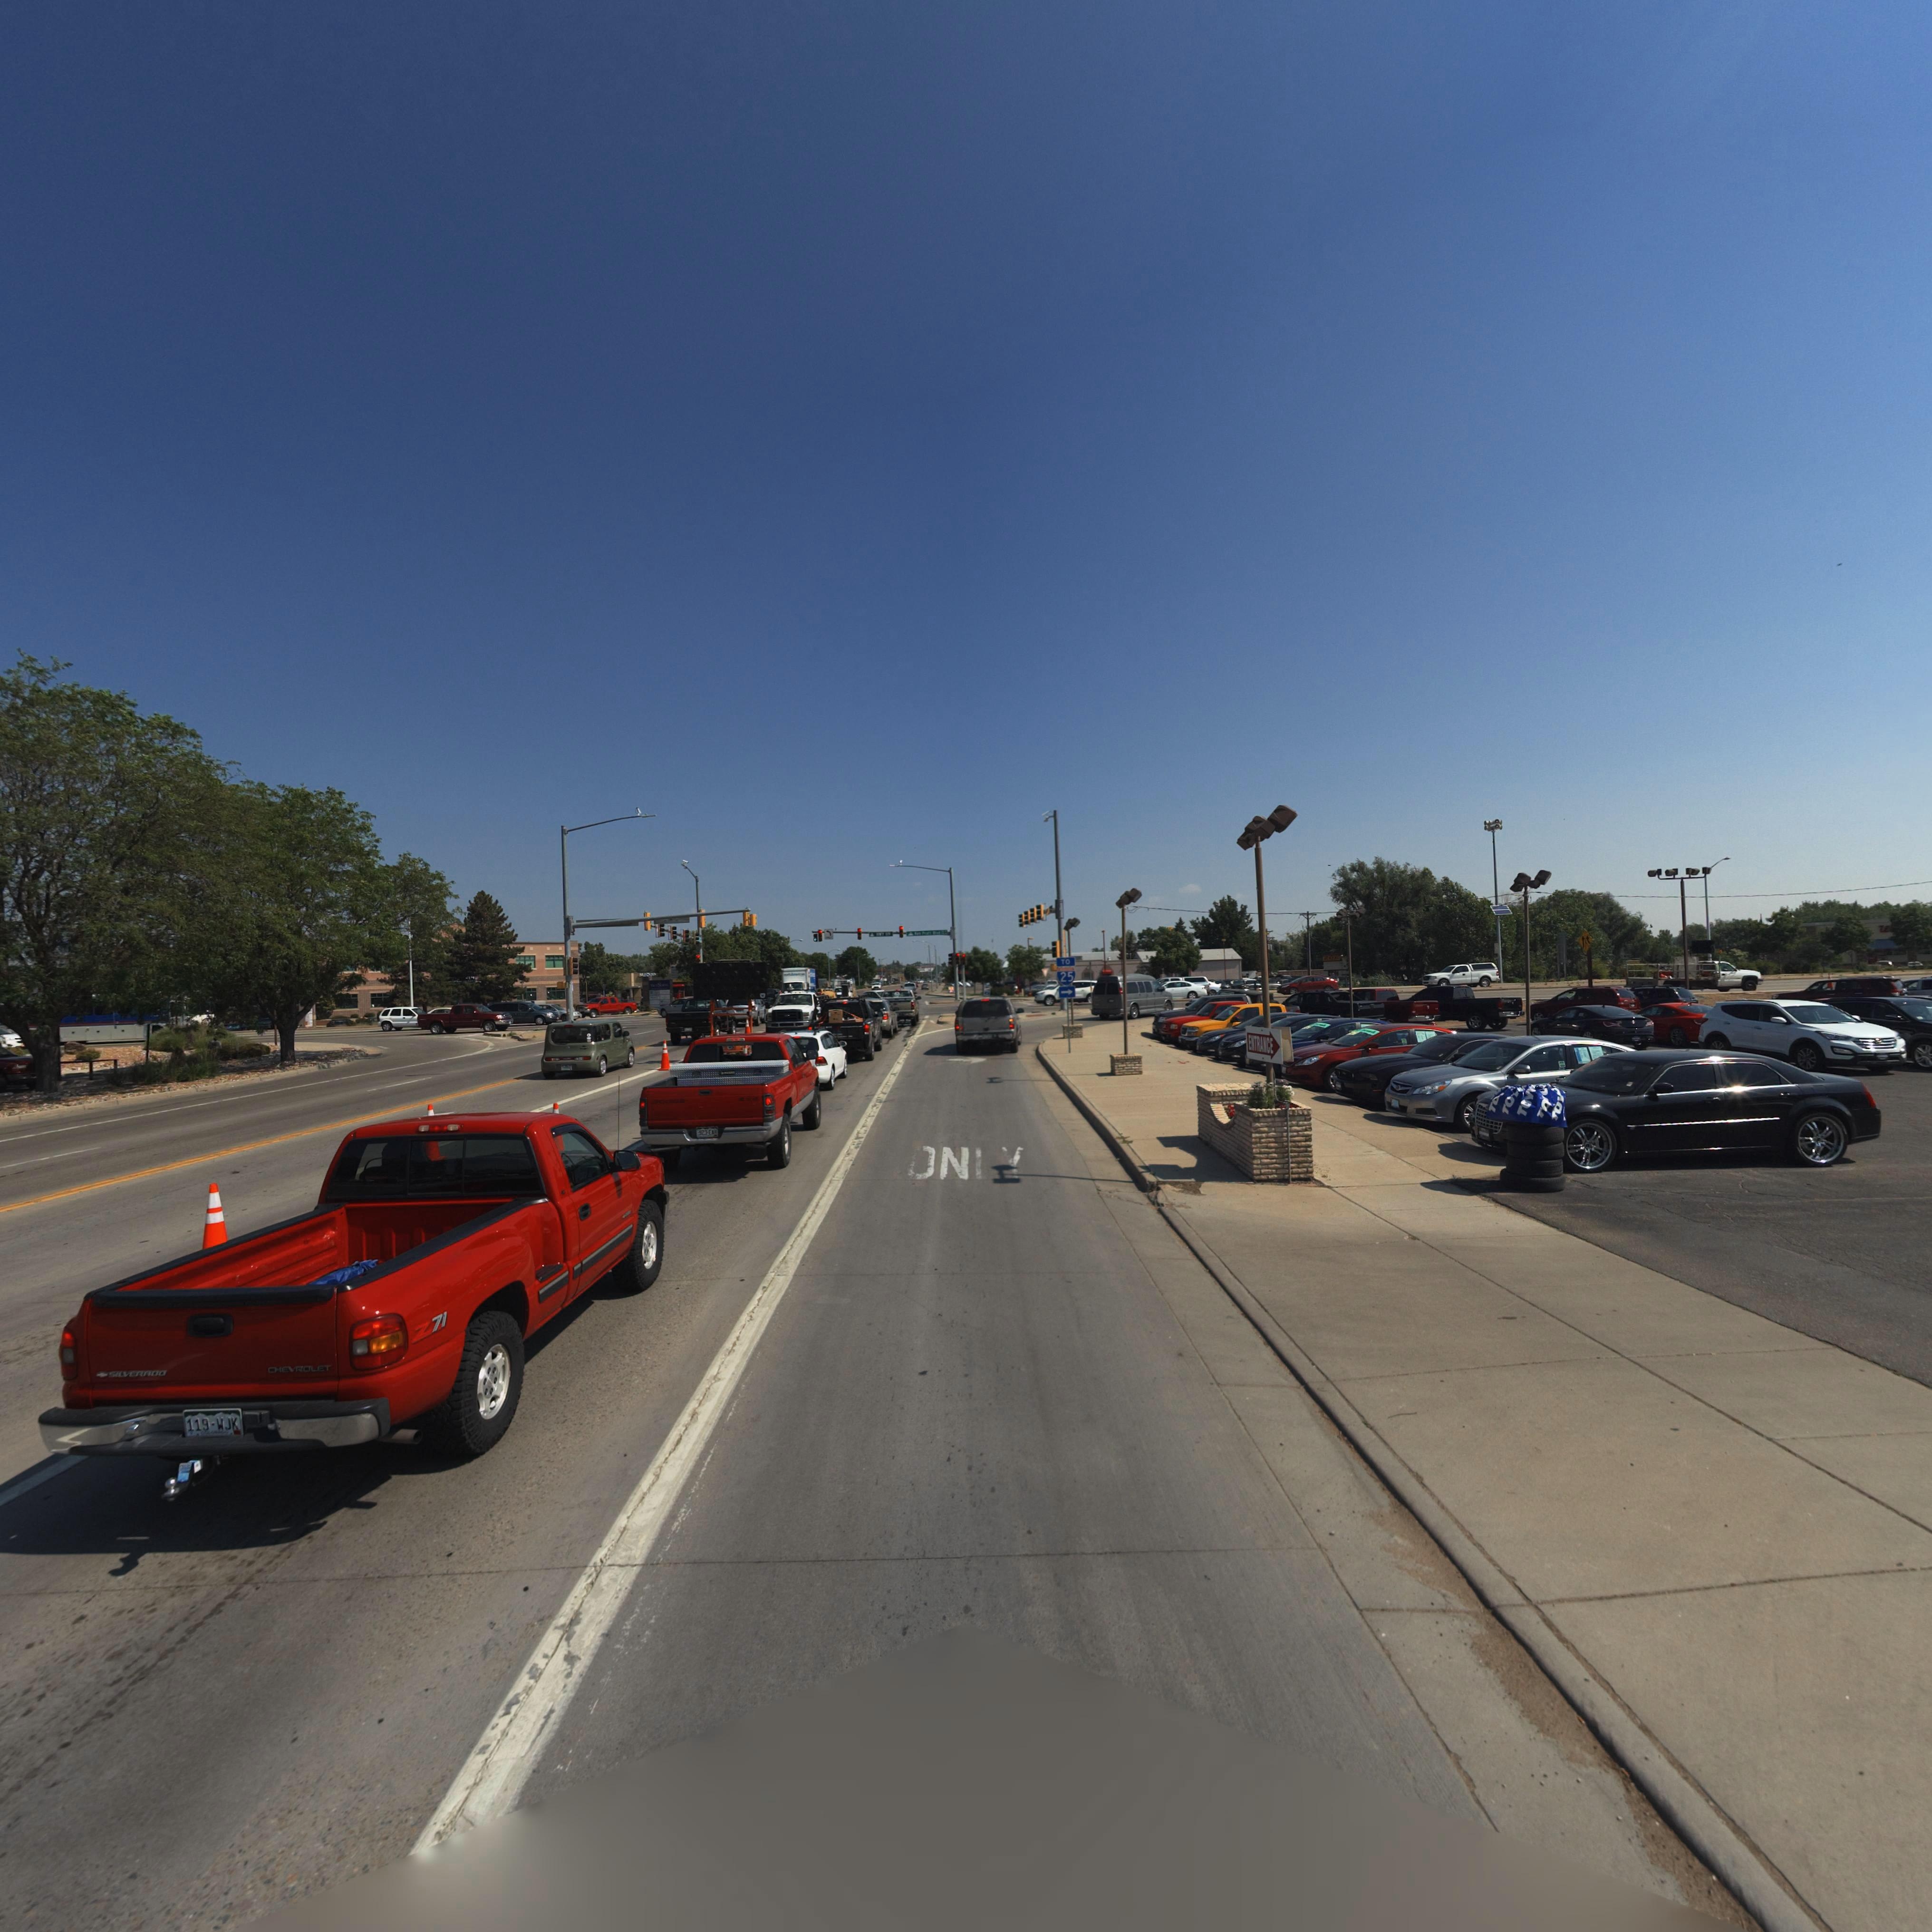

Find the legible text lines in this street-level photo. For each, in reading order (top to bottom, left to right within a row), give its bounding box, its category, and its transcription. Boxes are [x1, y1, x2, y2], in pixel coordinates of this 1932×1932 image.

[875, 932, 891, 936] StreetName: HWY 119
[914, 931, 940, 936] StreetName: Ken Pratt Blvd
[638, 972, 657, 977] BusinessName: McDon
[650, 982, 669, 987] BusinessName: TRUENORTH